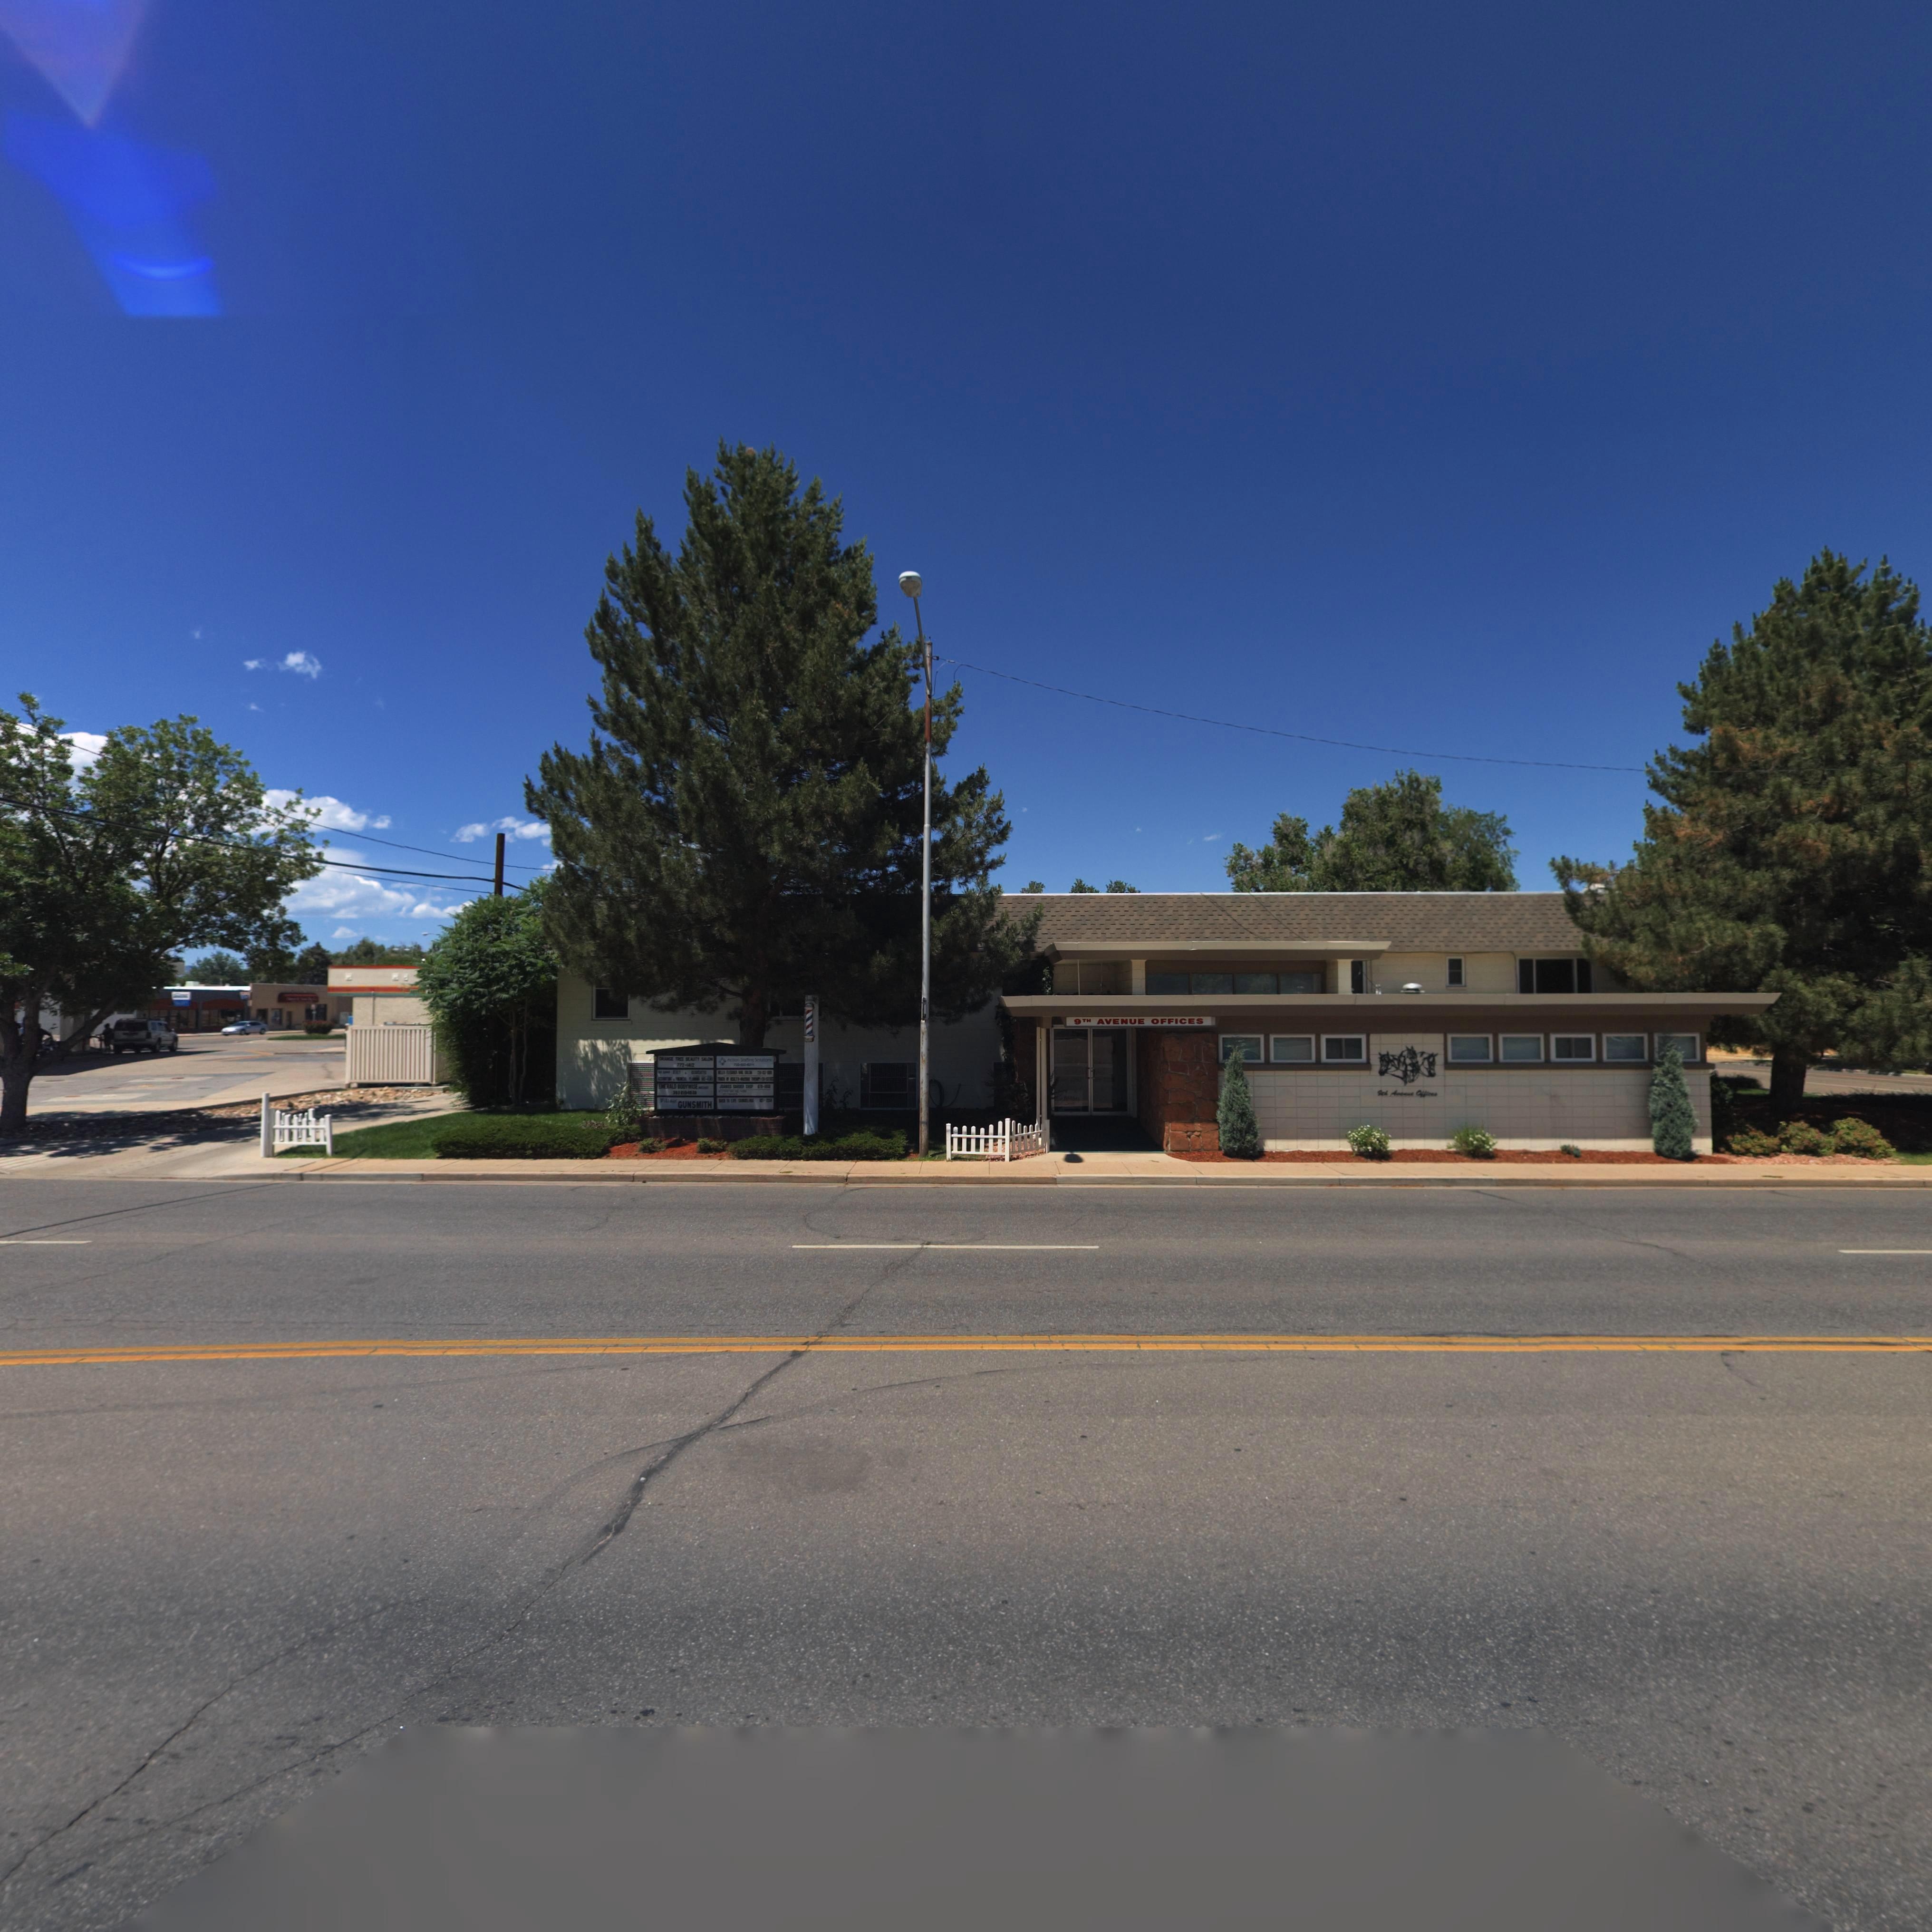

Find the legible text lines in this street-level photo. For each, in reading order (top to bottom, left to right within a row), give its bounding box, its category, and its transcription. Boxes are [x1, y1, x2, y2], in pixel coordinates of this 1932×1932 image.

[658, 1056, 713, 1062] BusinessName: ORANGE TREE BEAUTY SALON
[726, 1057, 772, 1063] BusinessName: Action Staffing Solutions
[717, 1069, 753, 1075] BusinessName: **** ***** **L *****
[716, 1076, 761, 1082] BusinessName: T**** OF ****TH-**SSAGE THERAPY
[658, 1083, 698, 1089] BusinessName: EMERALD BODYWISE
[659, 1097, 677, 1103] BusinessName: Villa*e
[718, 1098, 754, 1103] BusinessName: BACK TO LIFE C*****LING
[677, 1100, 712, 1109] BusinessName: GUNSMITH